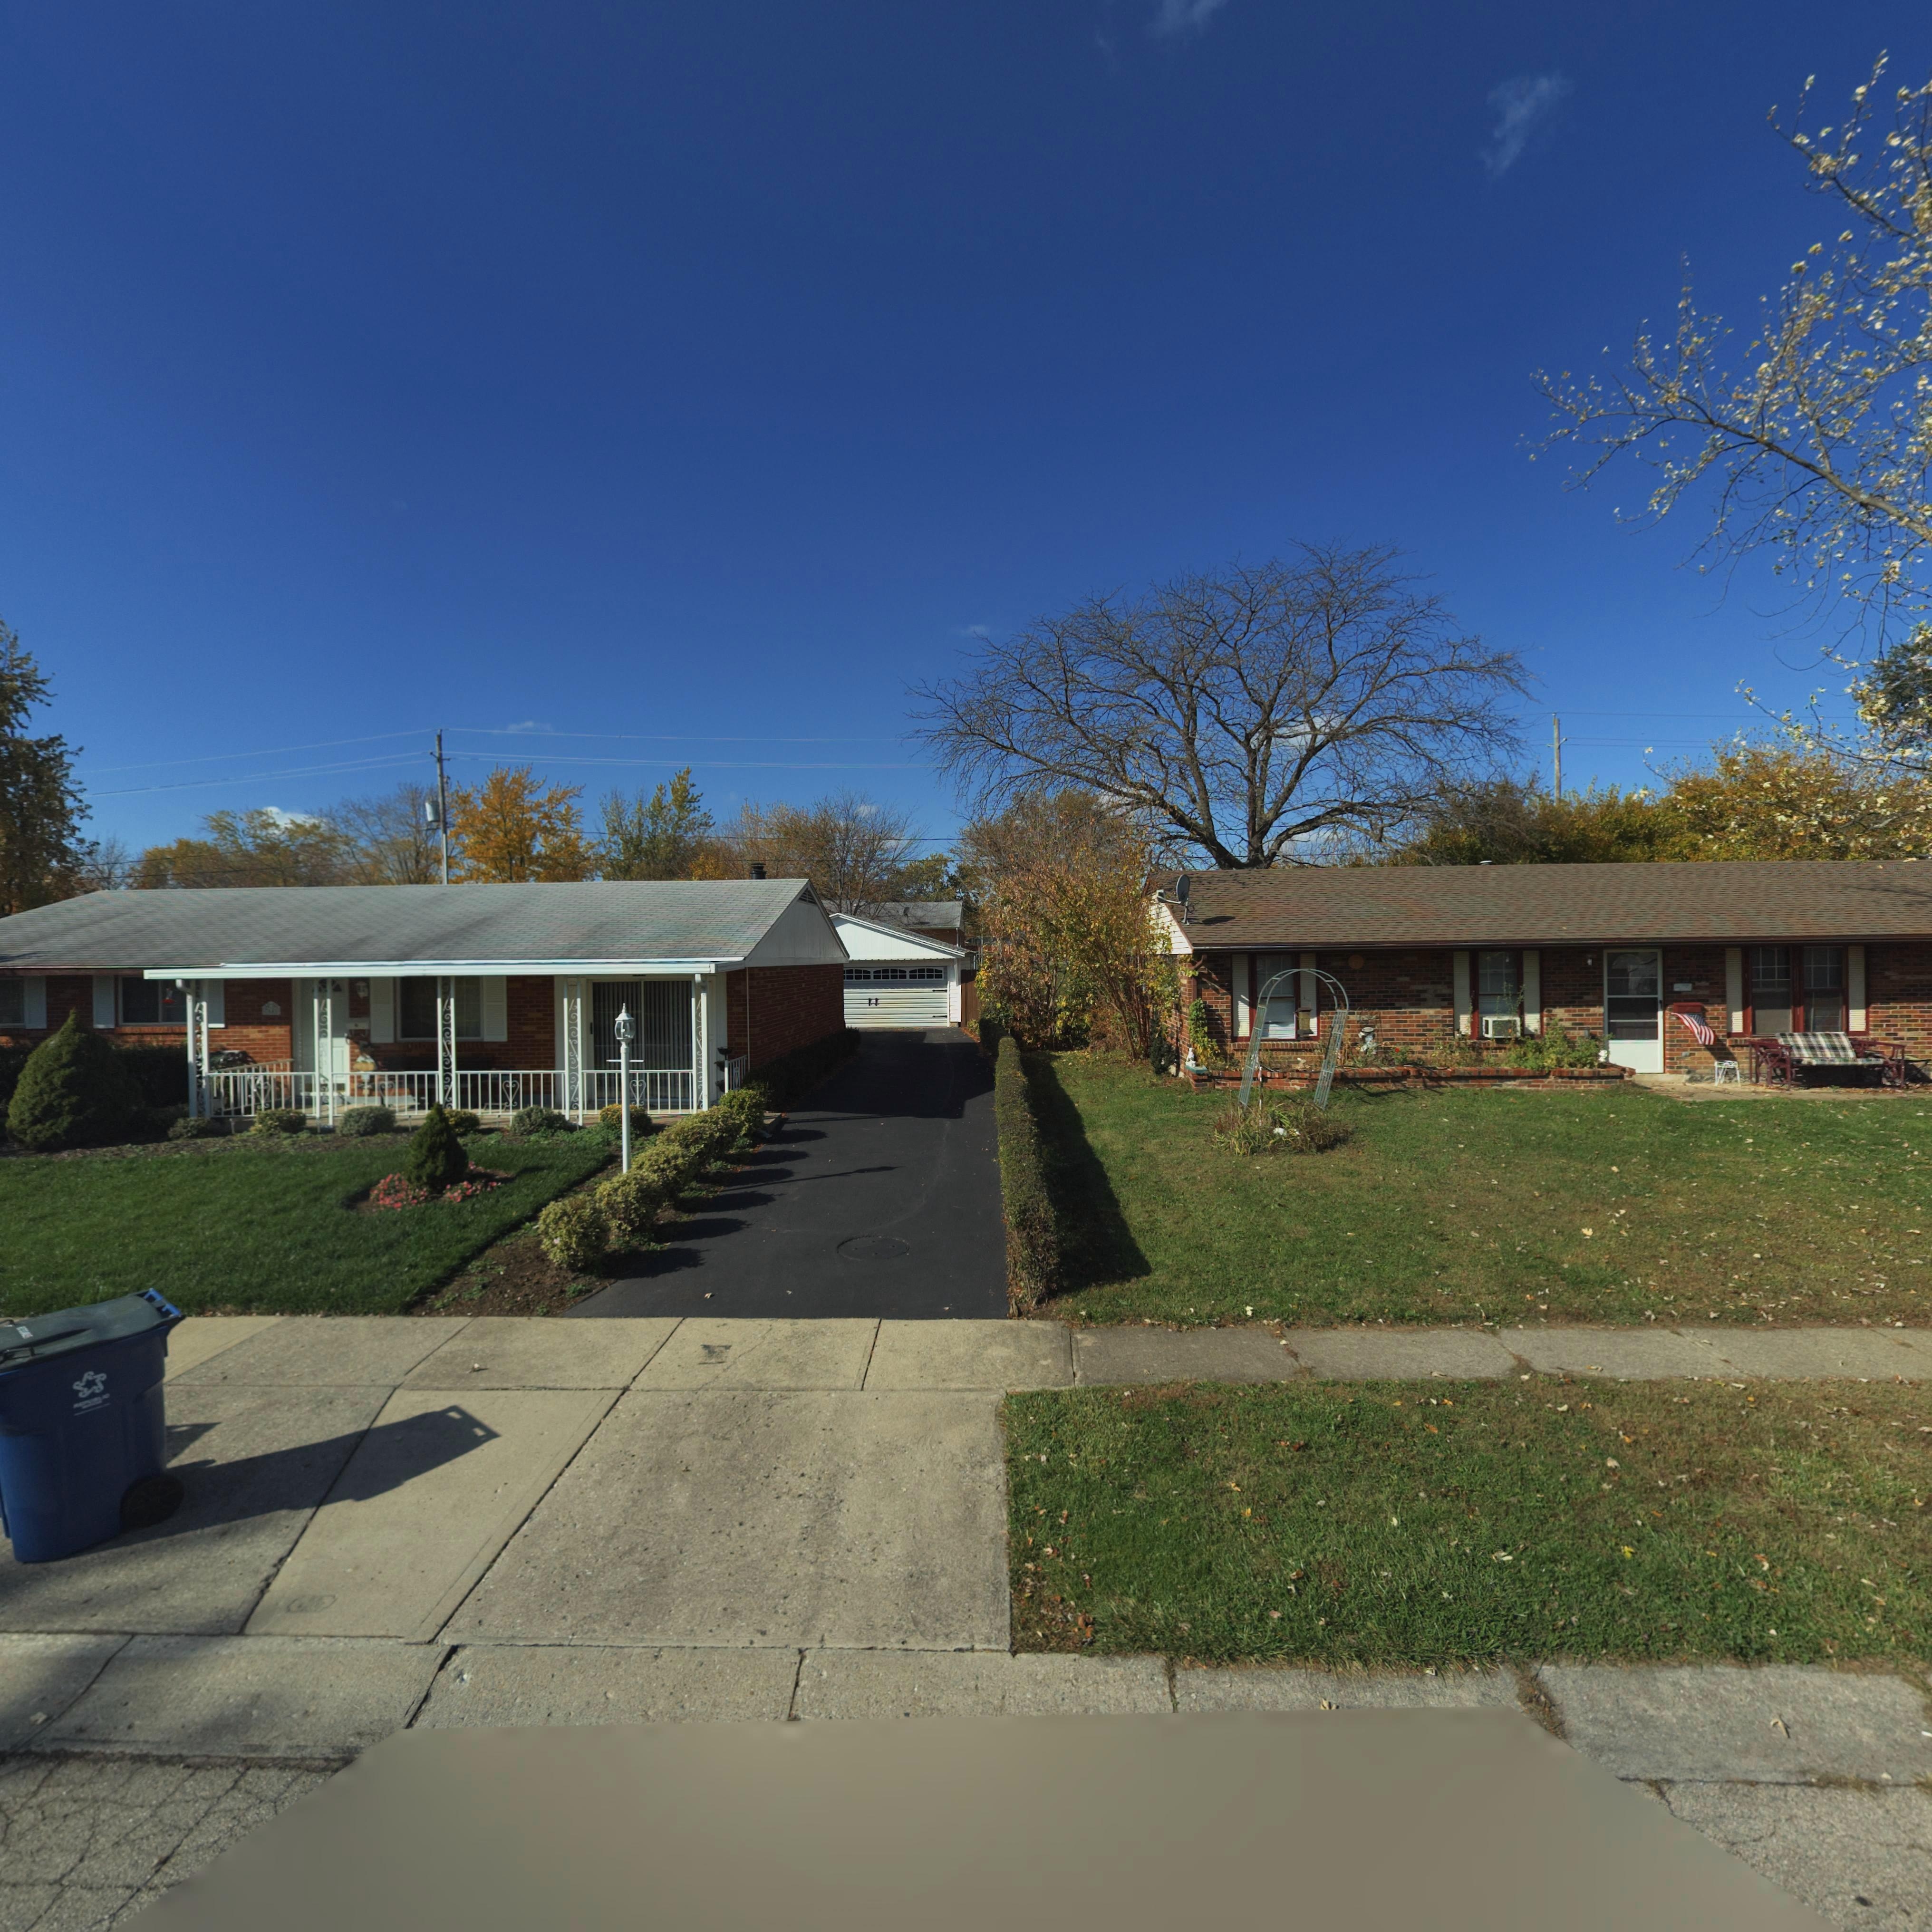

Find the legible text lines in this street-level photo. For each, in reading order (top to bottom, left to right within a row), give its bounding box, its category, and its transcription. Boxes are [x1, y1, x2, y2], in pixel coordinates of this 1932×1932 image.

[1675, 972, 1710, 985] StreetNumber: **01